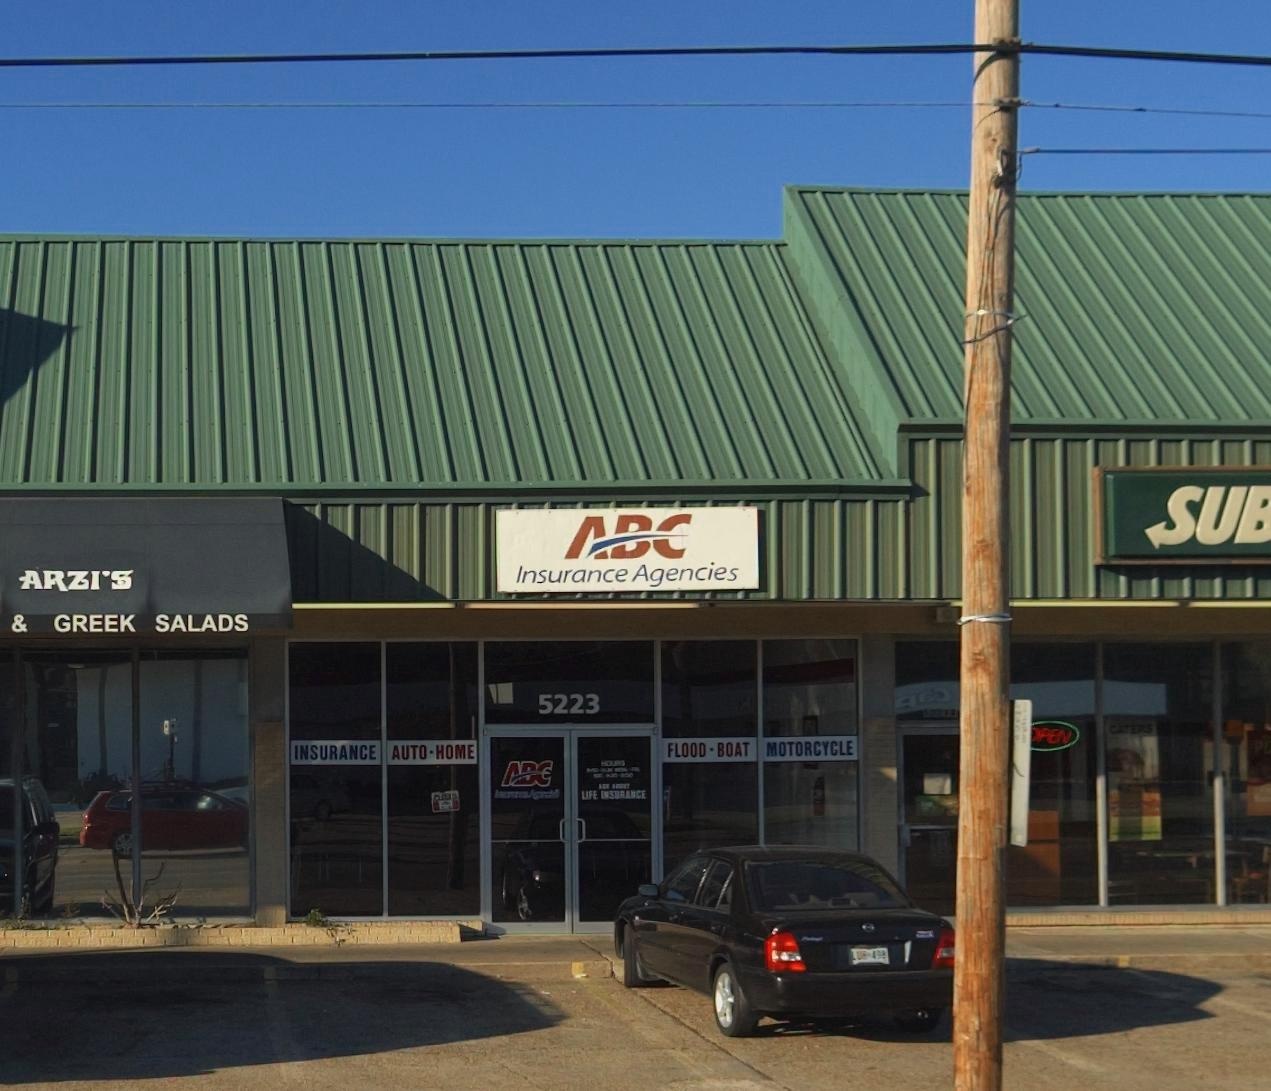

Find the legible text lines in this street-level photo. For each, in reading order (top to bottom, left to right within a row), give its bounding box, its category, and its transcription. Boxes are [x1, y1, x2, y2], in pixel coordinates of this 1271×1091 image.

[1140, 484, 1271, 551] BusinessName: SU*
[561, 513, 693, 560] BusinessName: ABC
[18, 569, 136, 592] BusinessName: ARZI'S
[515, 561, 740, 588] BusinessName: Insurance Agencies
[10, 612, 250, 634] BusinessName: & GREEK SALADS
[537, 692, 602, 716] StreetNumber: 5223
[1032, 726, 1074, 745] None: *PEN
[1107, 722, 1155, 736] None: CATERS
[293, 743, 378, 761] None: INSURANCE
[390, 743, 476, 761] None: AUTO - HOME
[666, 741, 751, 758] None: FLOOD - BOAT
[765, 739, 855, 757] None: MOTORCYCLE
[600, 759, 626, 767] None: HOURS
[499, 759, 555, 788] BusinessName: ABC
[580, 788, 648, 801] None: LIFE INSURANCE